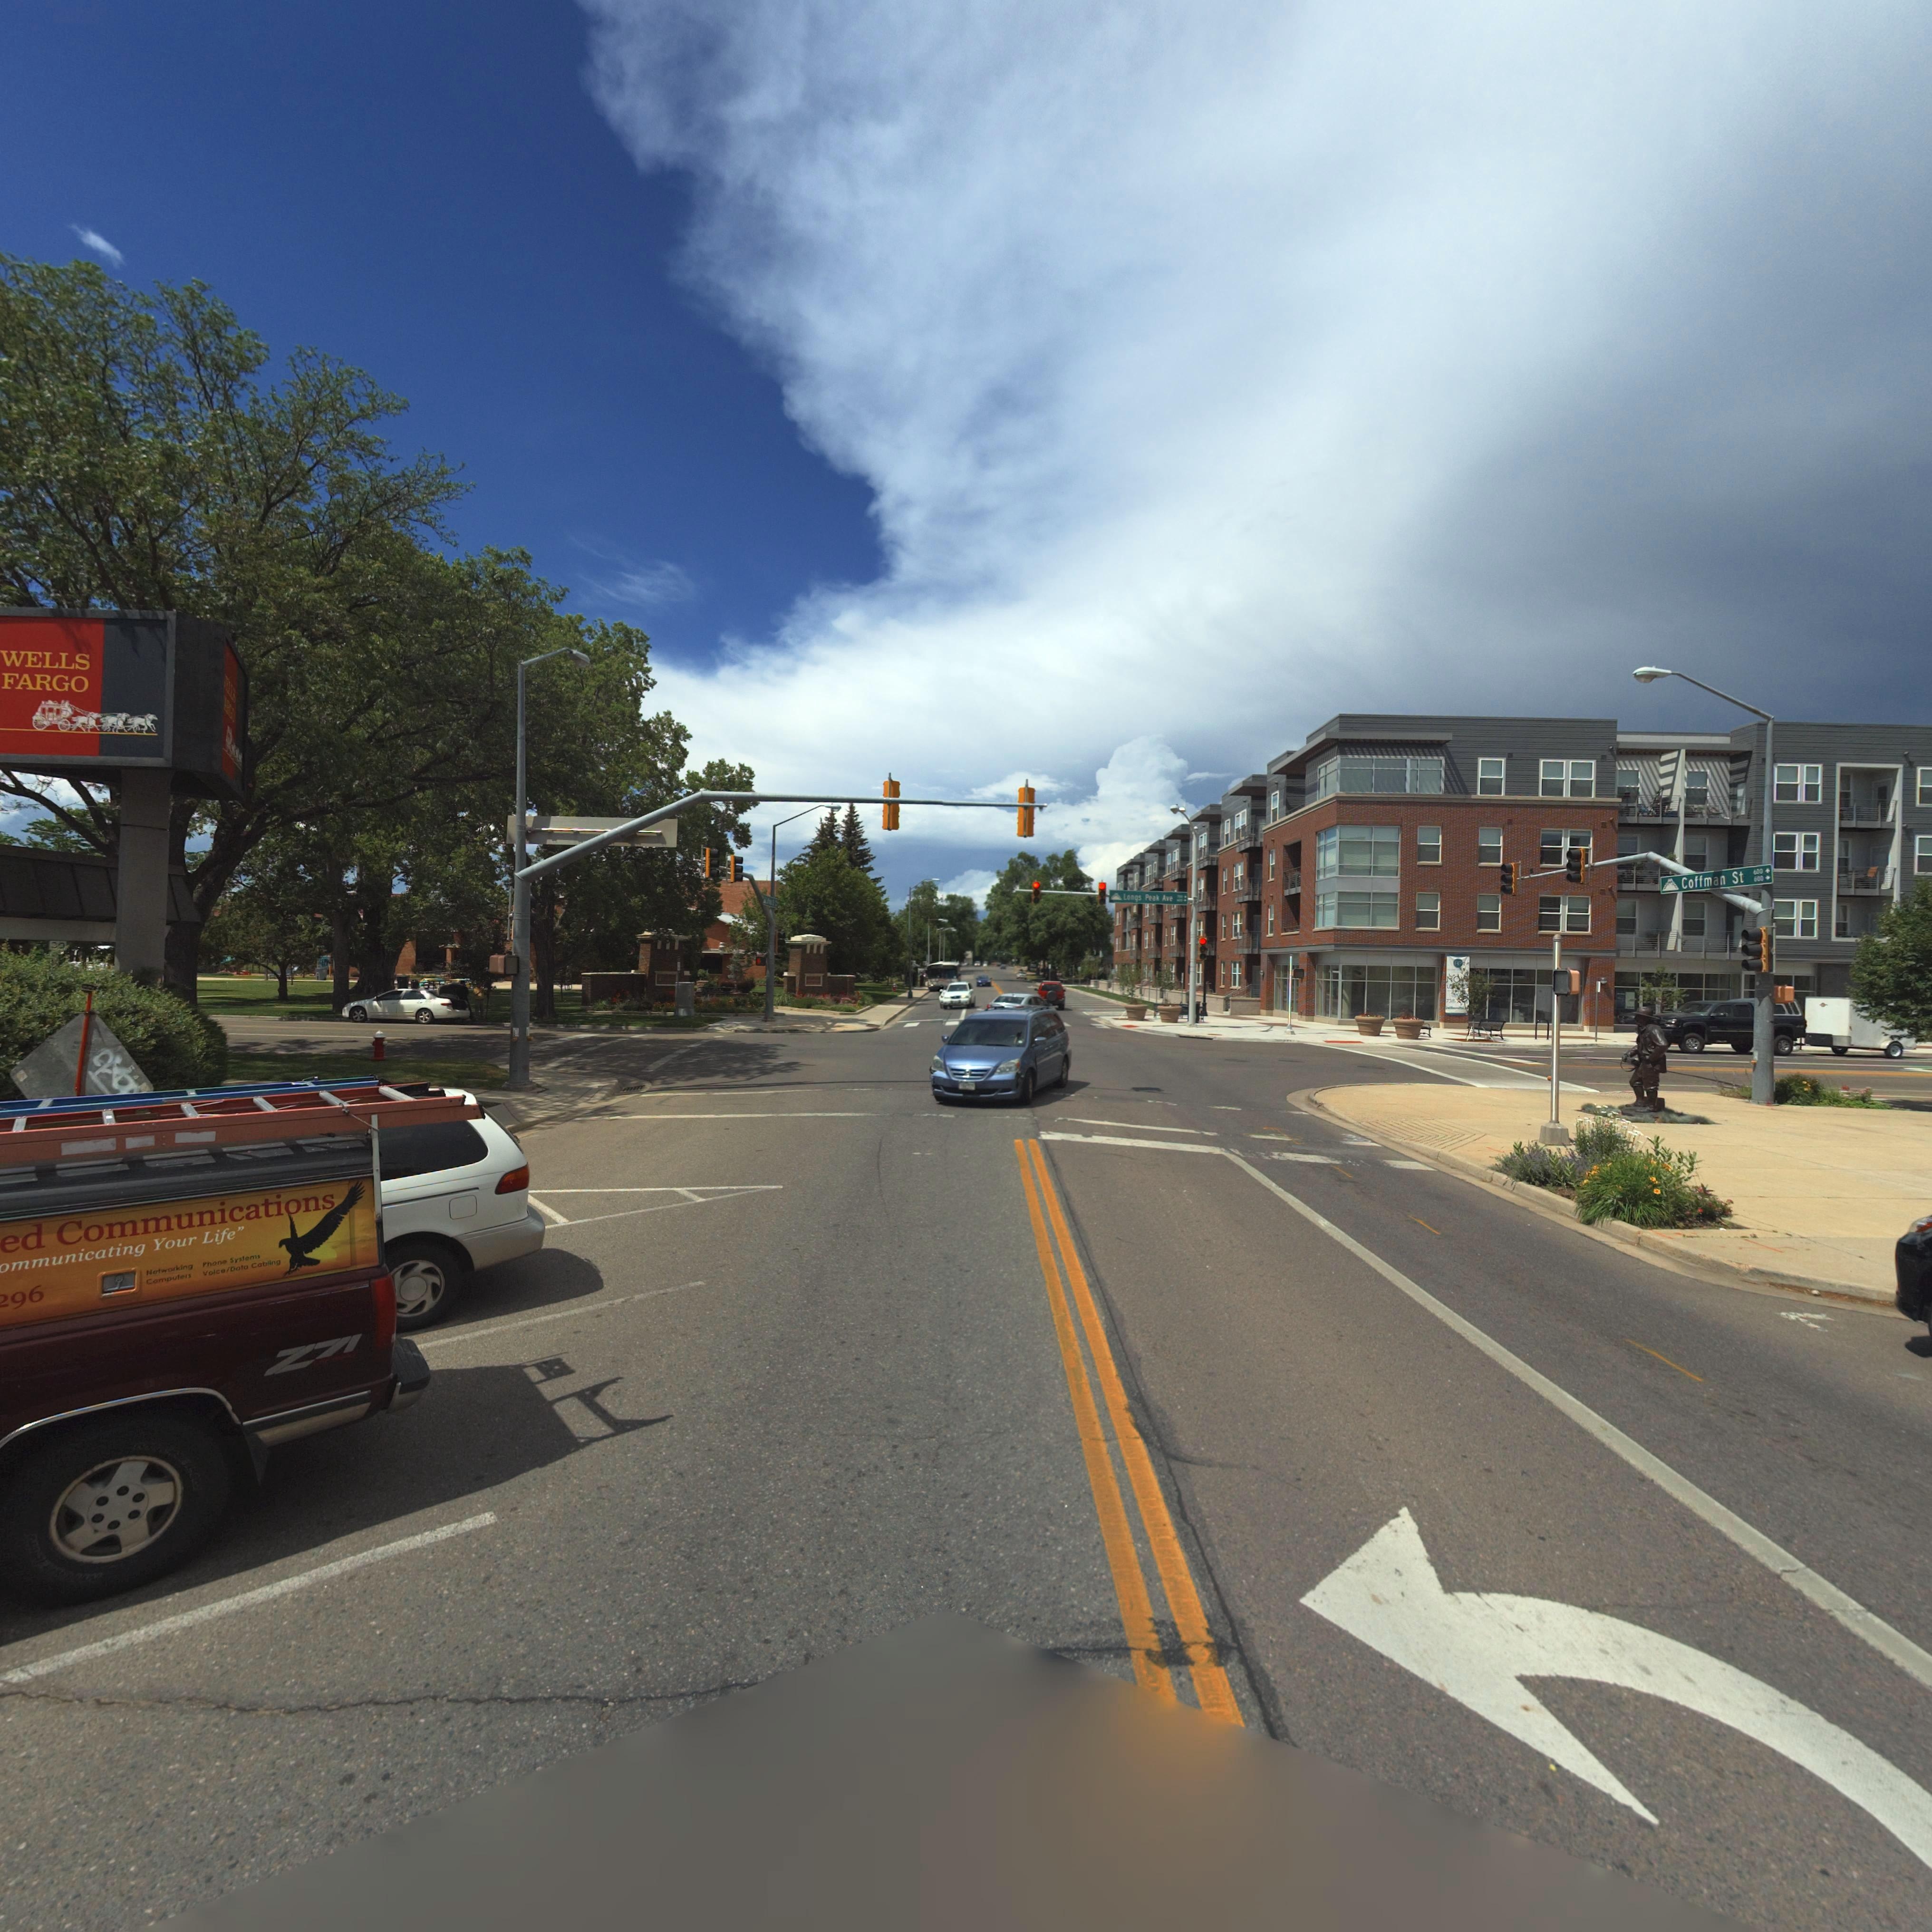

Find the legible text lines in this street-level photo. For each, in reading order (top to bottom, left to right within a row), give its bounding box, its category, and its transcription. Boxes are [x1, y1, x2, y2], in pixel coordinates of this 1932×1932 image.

[0, 649, 91, 671] BusinessName: WELLS
[0, 672, 89, 693] BusinessName: FARGO
[224, 673, 237, 704] BusinessName: ***LS
[223, 693, 237, 724] BusinessName: ***GO
[1681, 869, 1745, 889] StreetName: Coffman St
[1753, 868, 1763, 875] StreetNumberRange: 400
[1753, 875, 1771, 882] StreetNumberRange: 600->
[1123, 893, 1173, 903] StreetName: Longs Peak Ave
[1176, 898, 1187, 902] StreetNumberRange: *00->